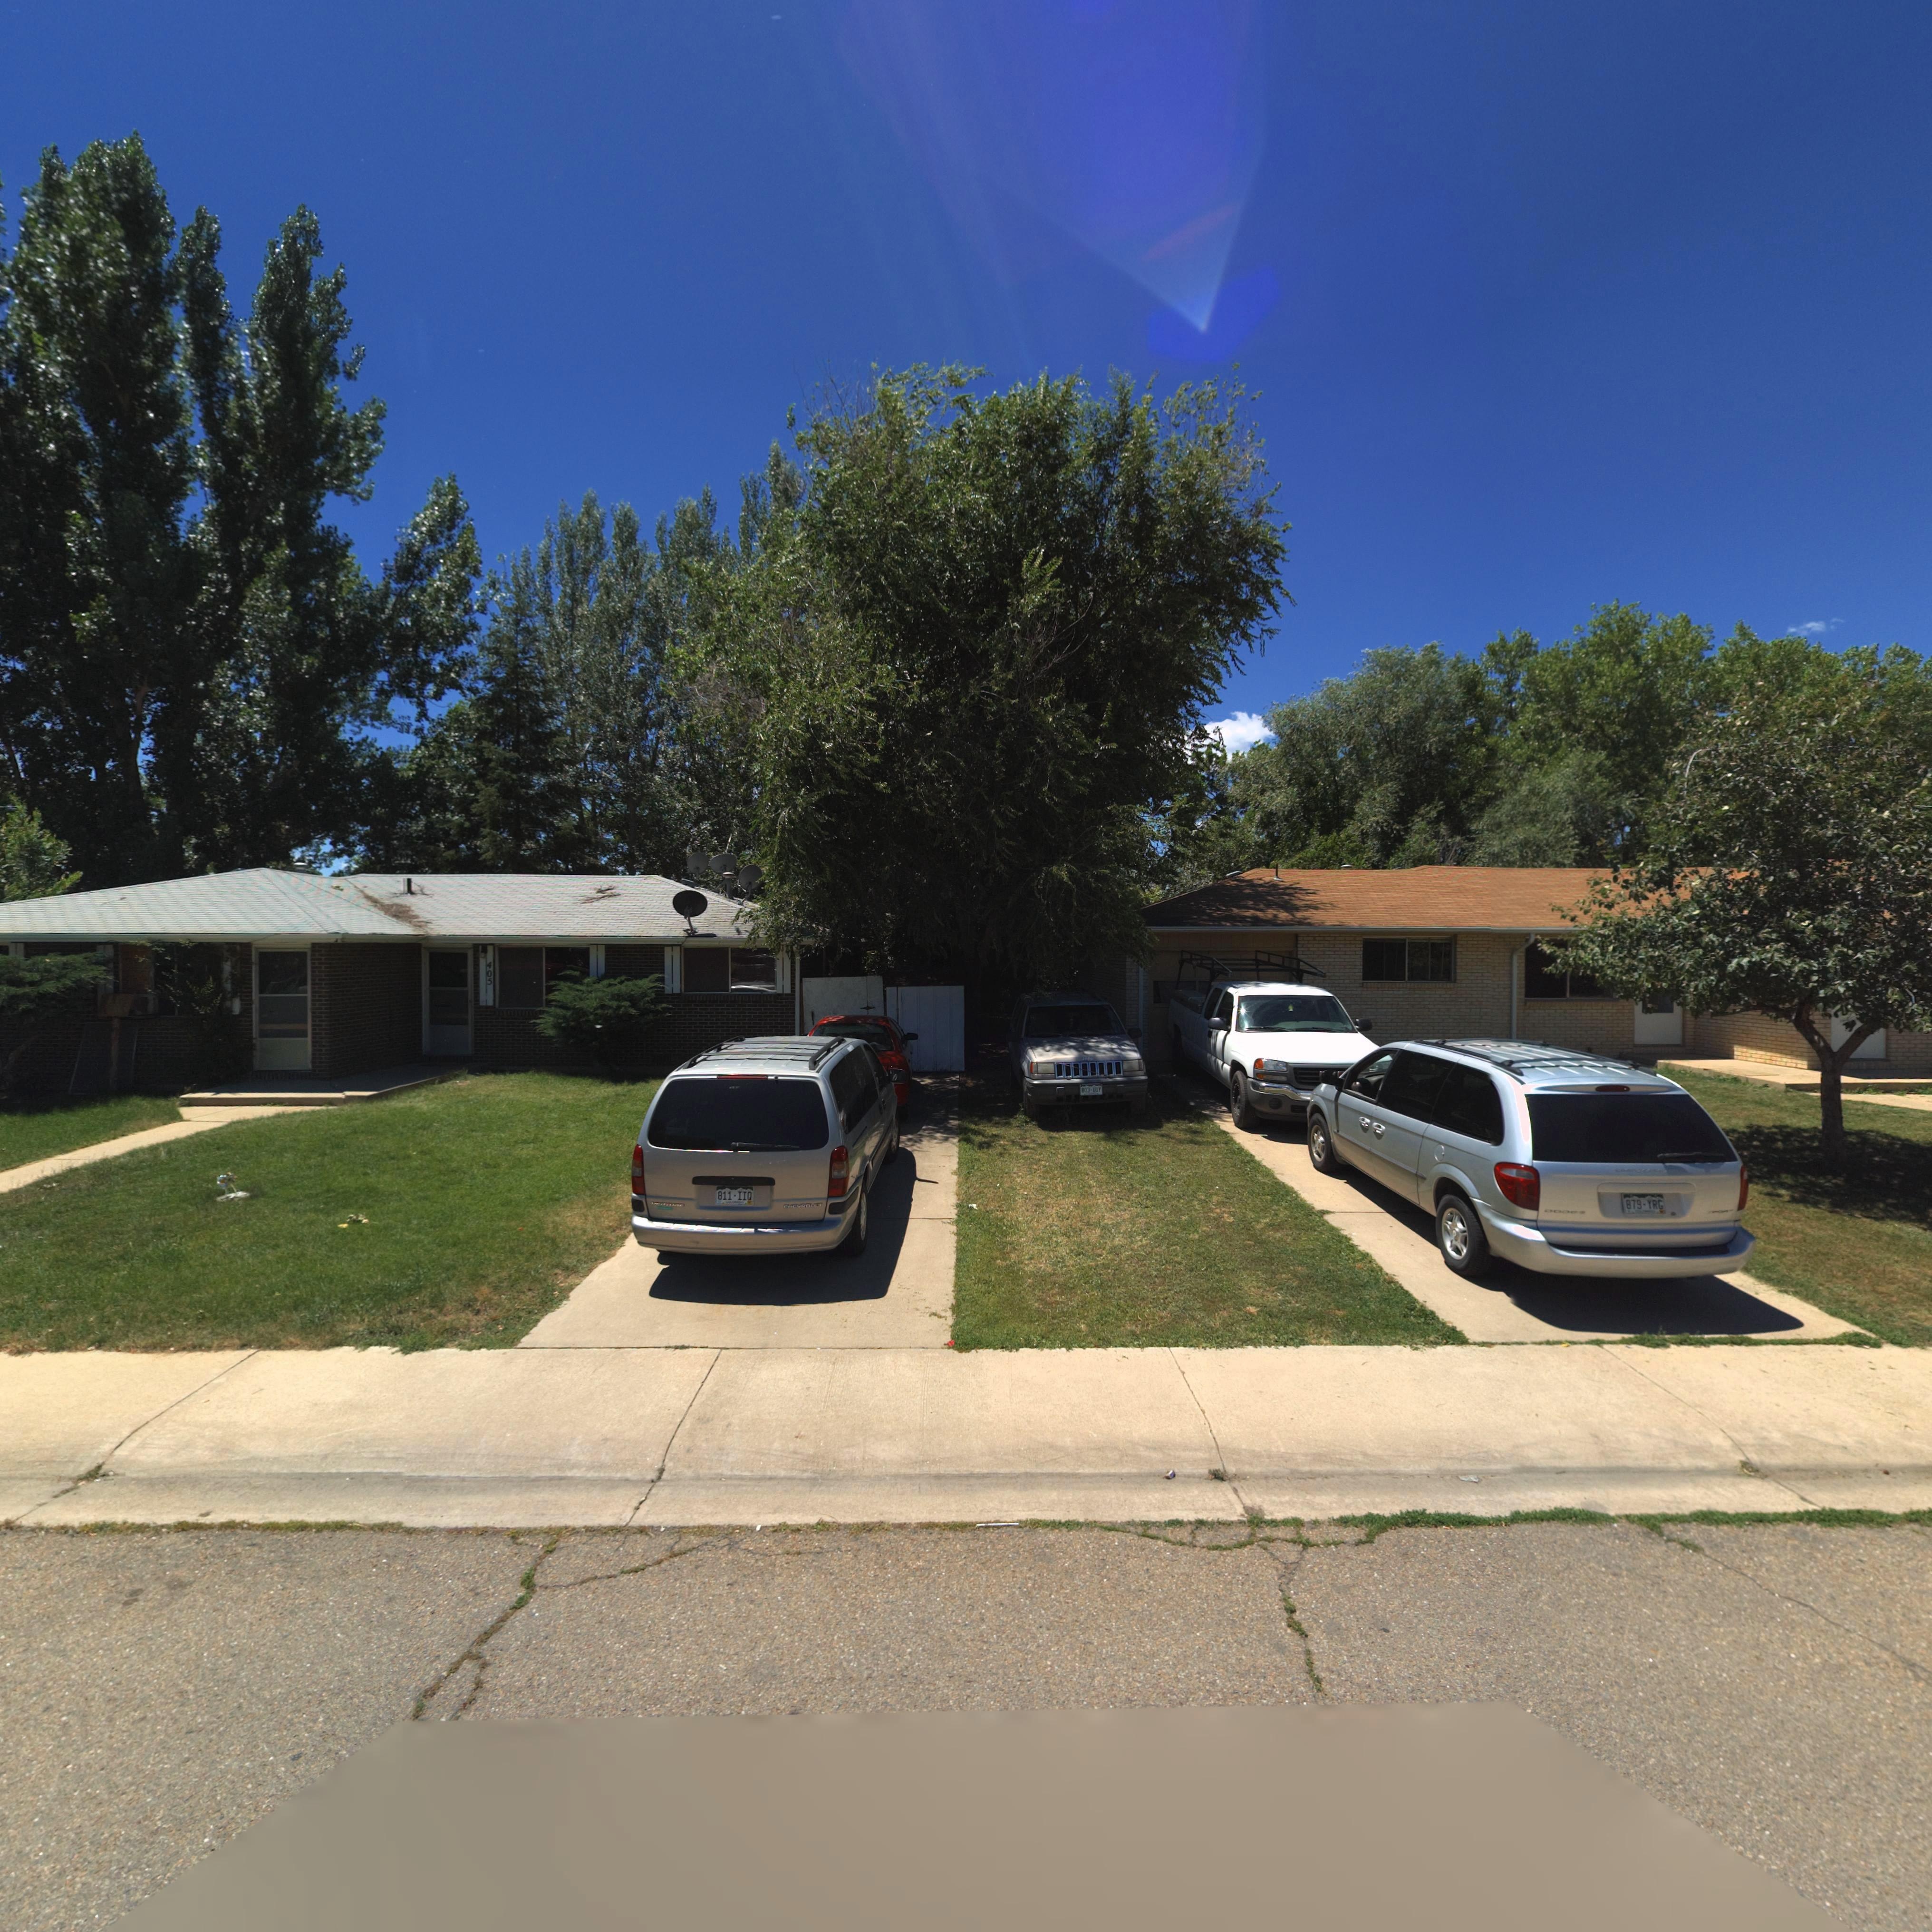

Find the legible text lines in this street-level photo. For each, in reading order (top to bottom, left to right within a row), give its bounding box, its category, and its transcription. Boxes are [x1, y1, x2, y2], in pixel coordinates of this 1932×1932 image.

[485, 961, 493, 985] StreetNumber: 405